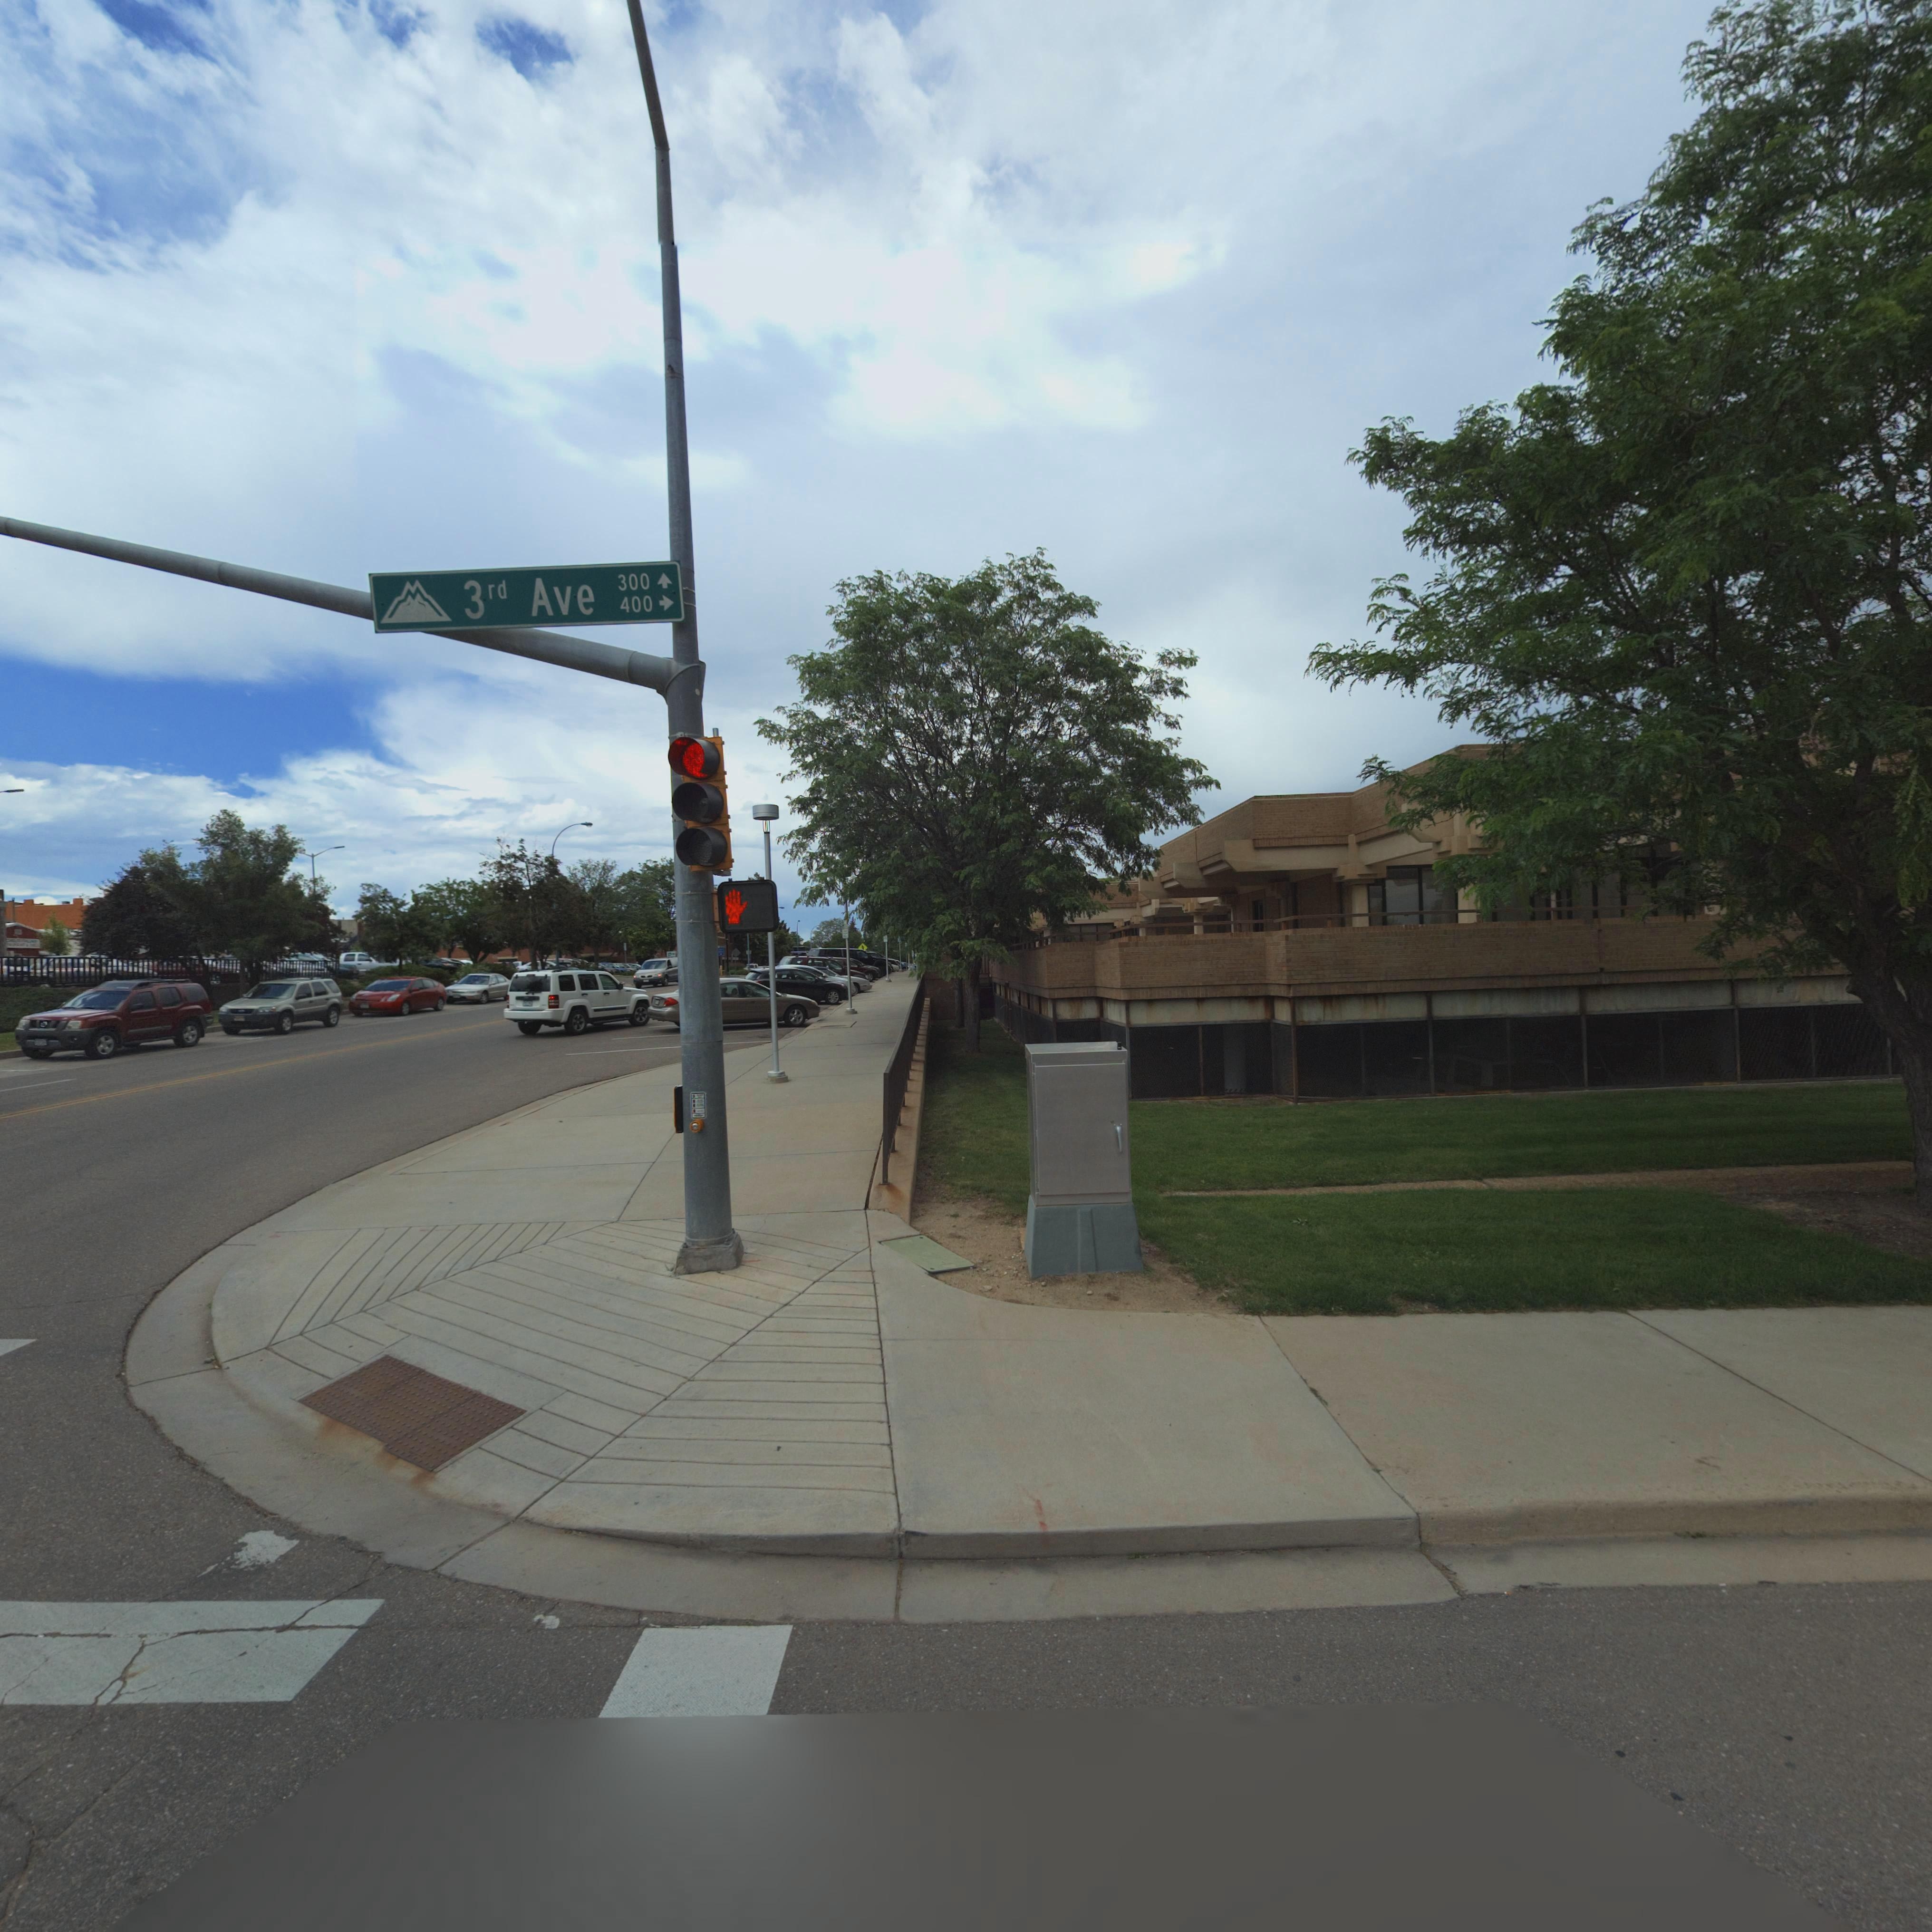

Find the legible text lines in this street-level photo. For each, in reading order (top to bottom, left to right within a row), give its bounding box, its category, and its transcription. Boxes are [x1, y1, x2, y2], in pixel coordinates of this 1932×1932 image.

[618, 572, 649, 590] StreetNumberRange: 300
[463, 576, 595, 618] StreetName: 3rd Ave
[619, 595, 675, 612] StreetNumberRange: 400->